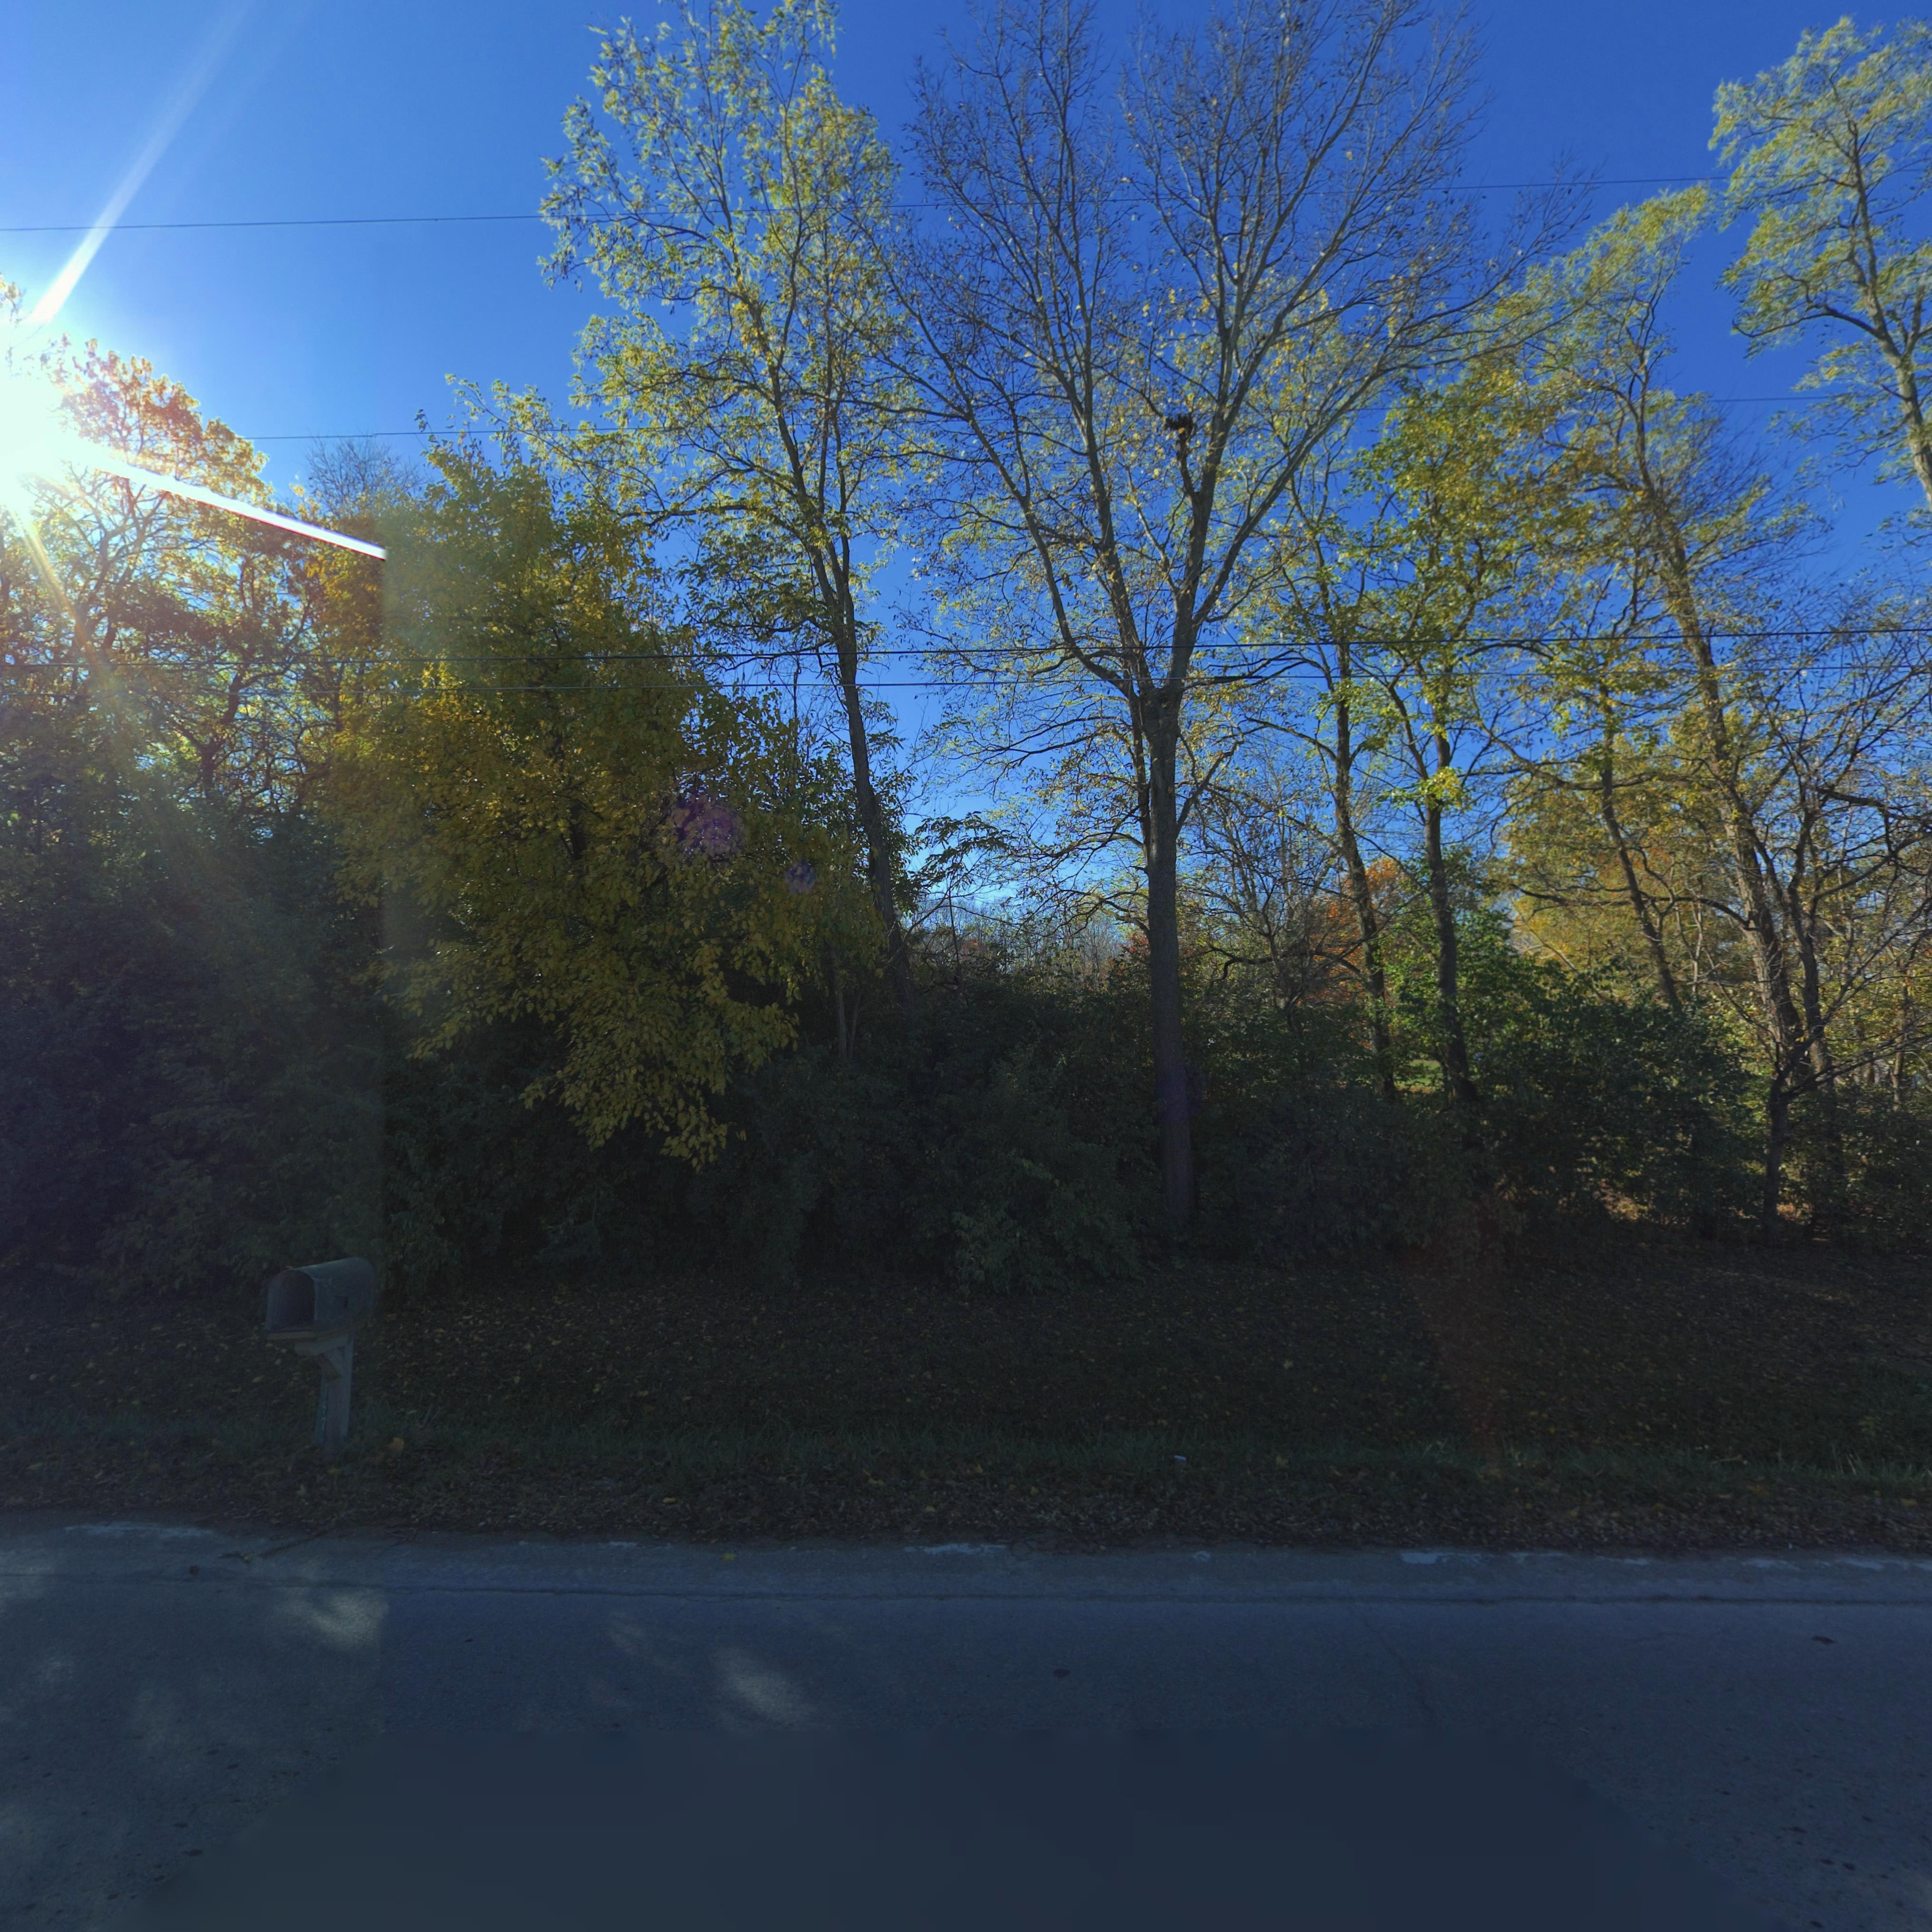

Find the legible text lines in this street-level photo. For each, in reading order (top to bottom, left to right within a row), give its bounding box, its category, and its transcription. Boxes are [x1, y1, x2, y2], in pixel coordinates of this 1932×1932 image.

[320, 1382, 329, 1432] StreetNumber: 797